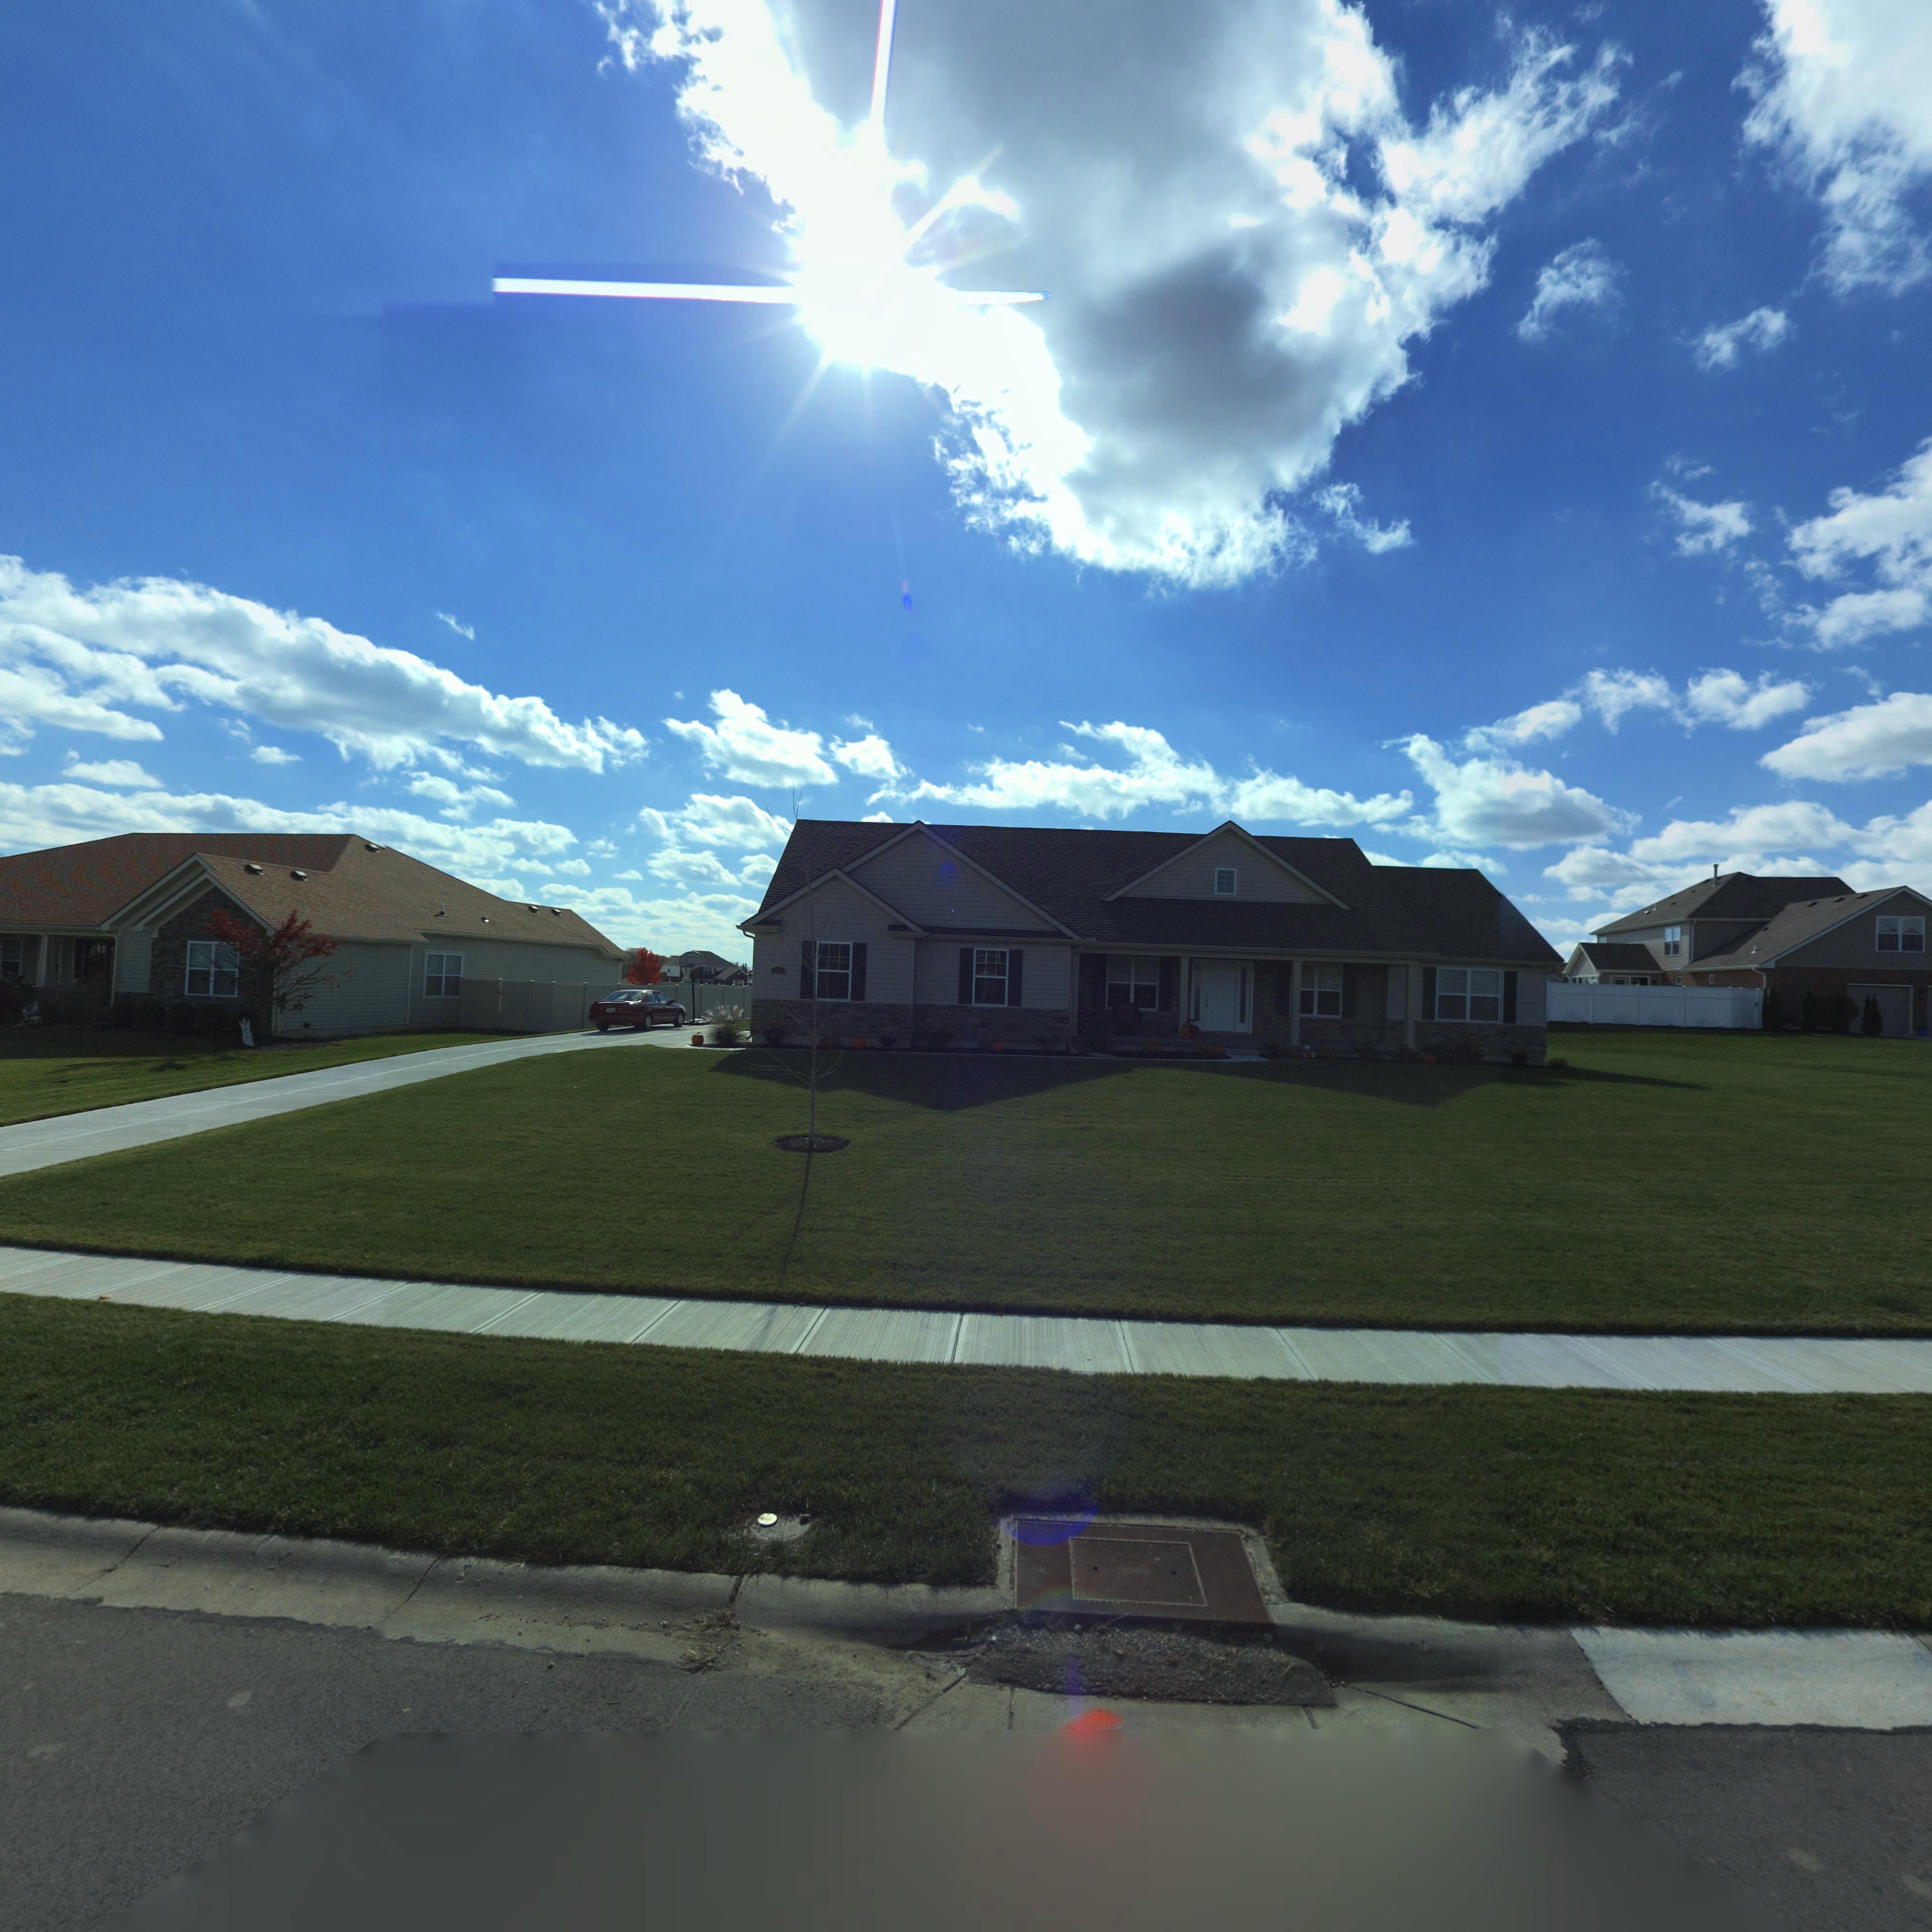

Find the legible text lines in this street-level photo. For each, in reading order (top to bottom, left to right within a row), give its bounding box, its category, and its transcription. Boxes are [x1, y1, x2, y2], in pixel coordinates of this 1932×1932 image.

[773, 967, 783, 974] StreetNumber: 6924